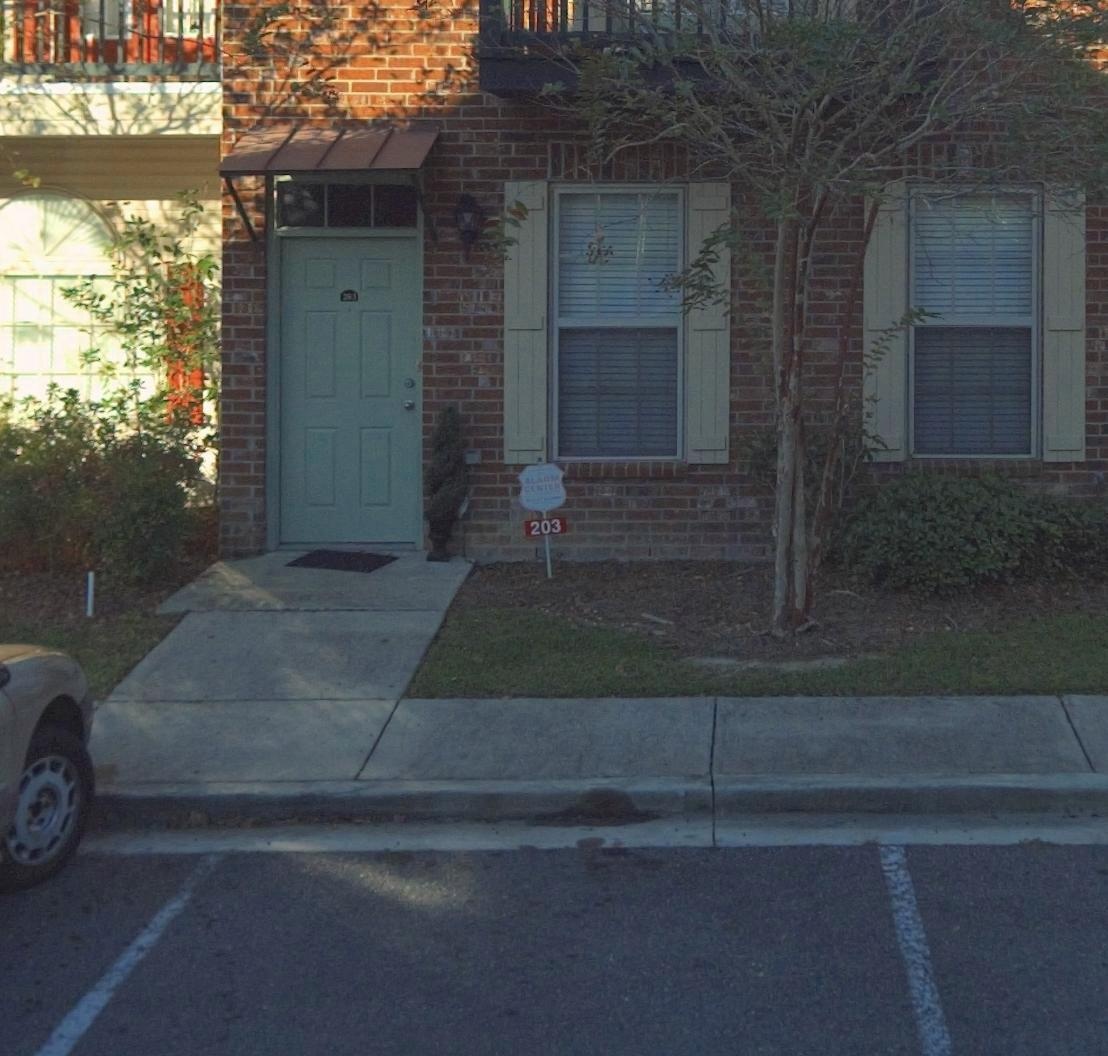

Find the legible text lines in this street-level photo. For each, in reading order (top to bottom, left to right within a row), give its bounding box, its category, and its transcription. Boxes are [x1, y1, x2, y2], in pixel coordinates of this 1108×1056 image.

[522, 472, 563, 486] None: ALARM
[523, 480, 564, 494] None: CENTER
[528, 516, 564, 538] StreetNumber: 203